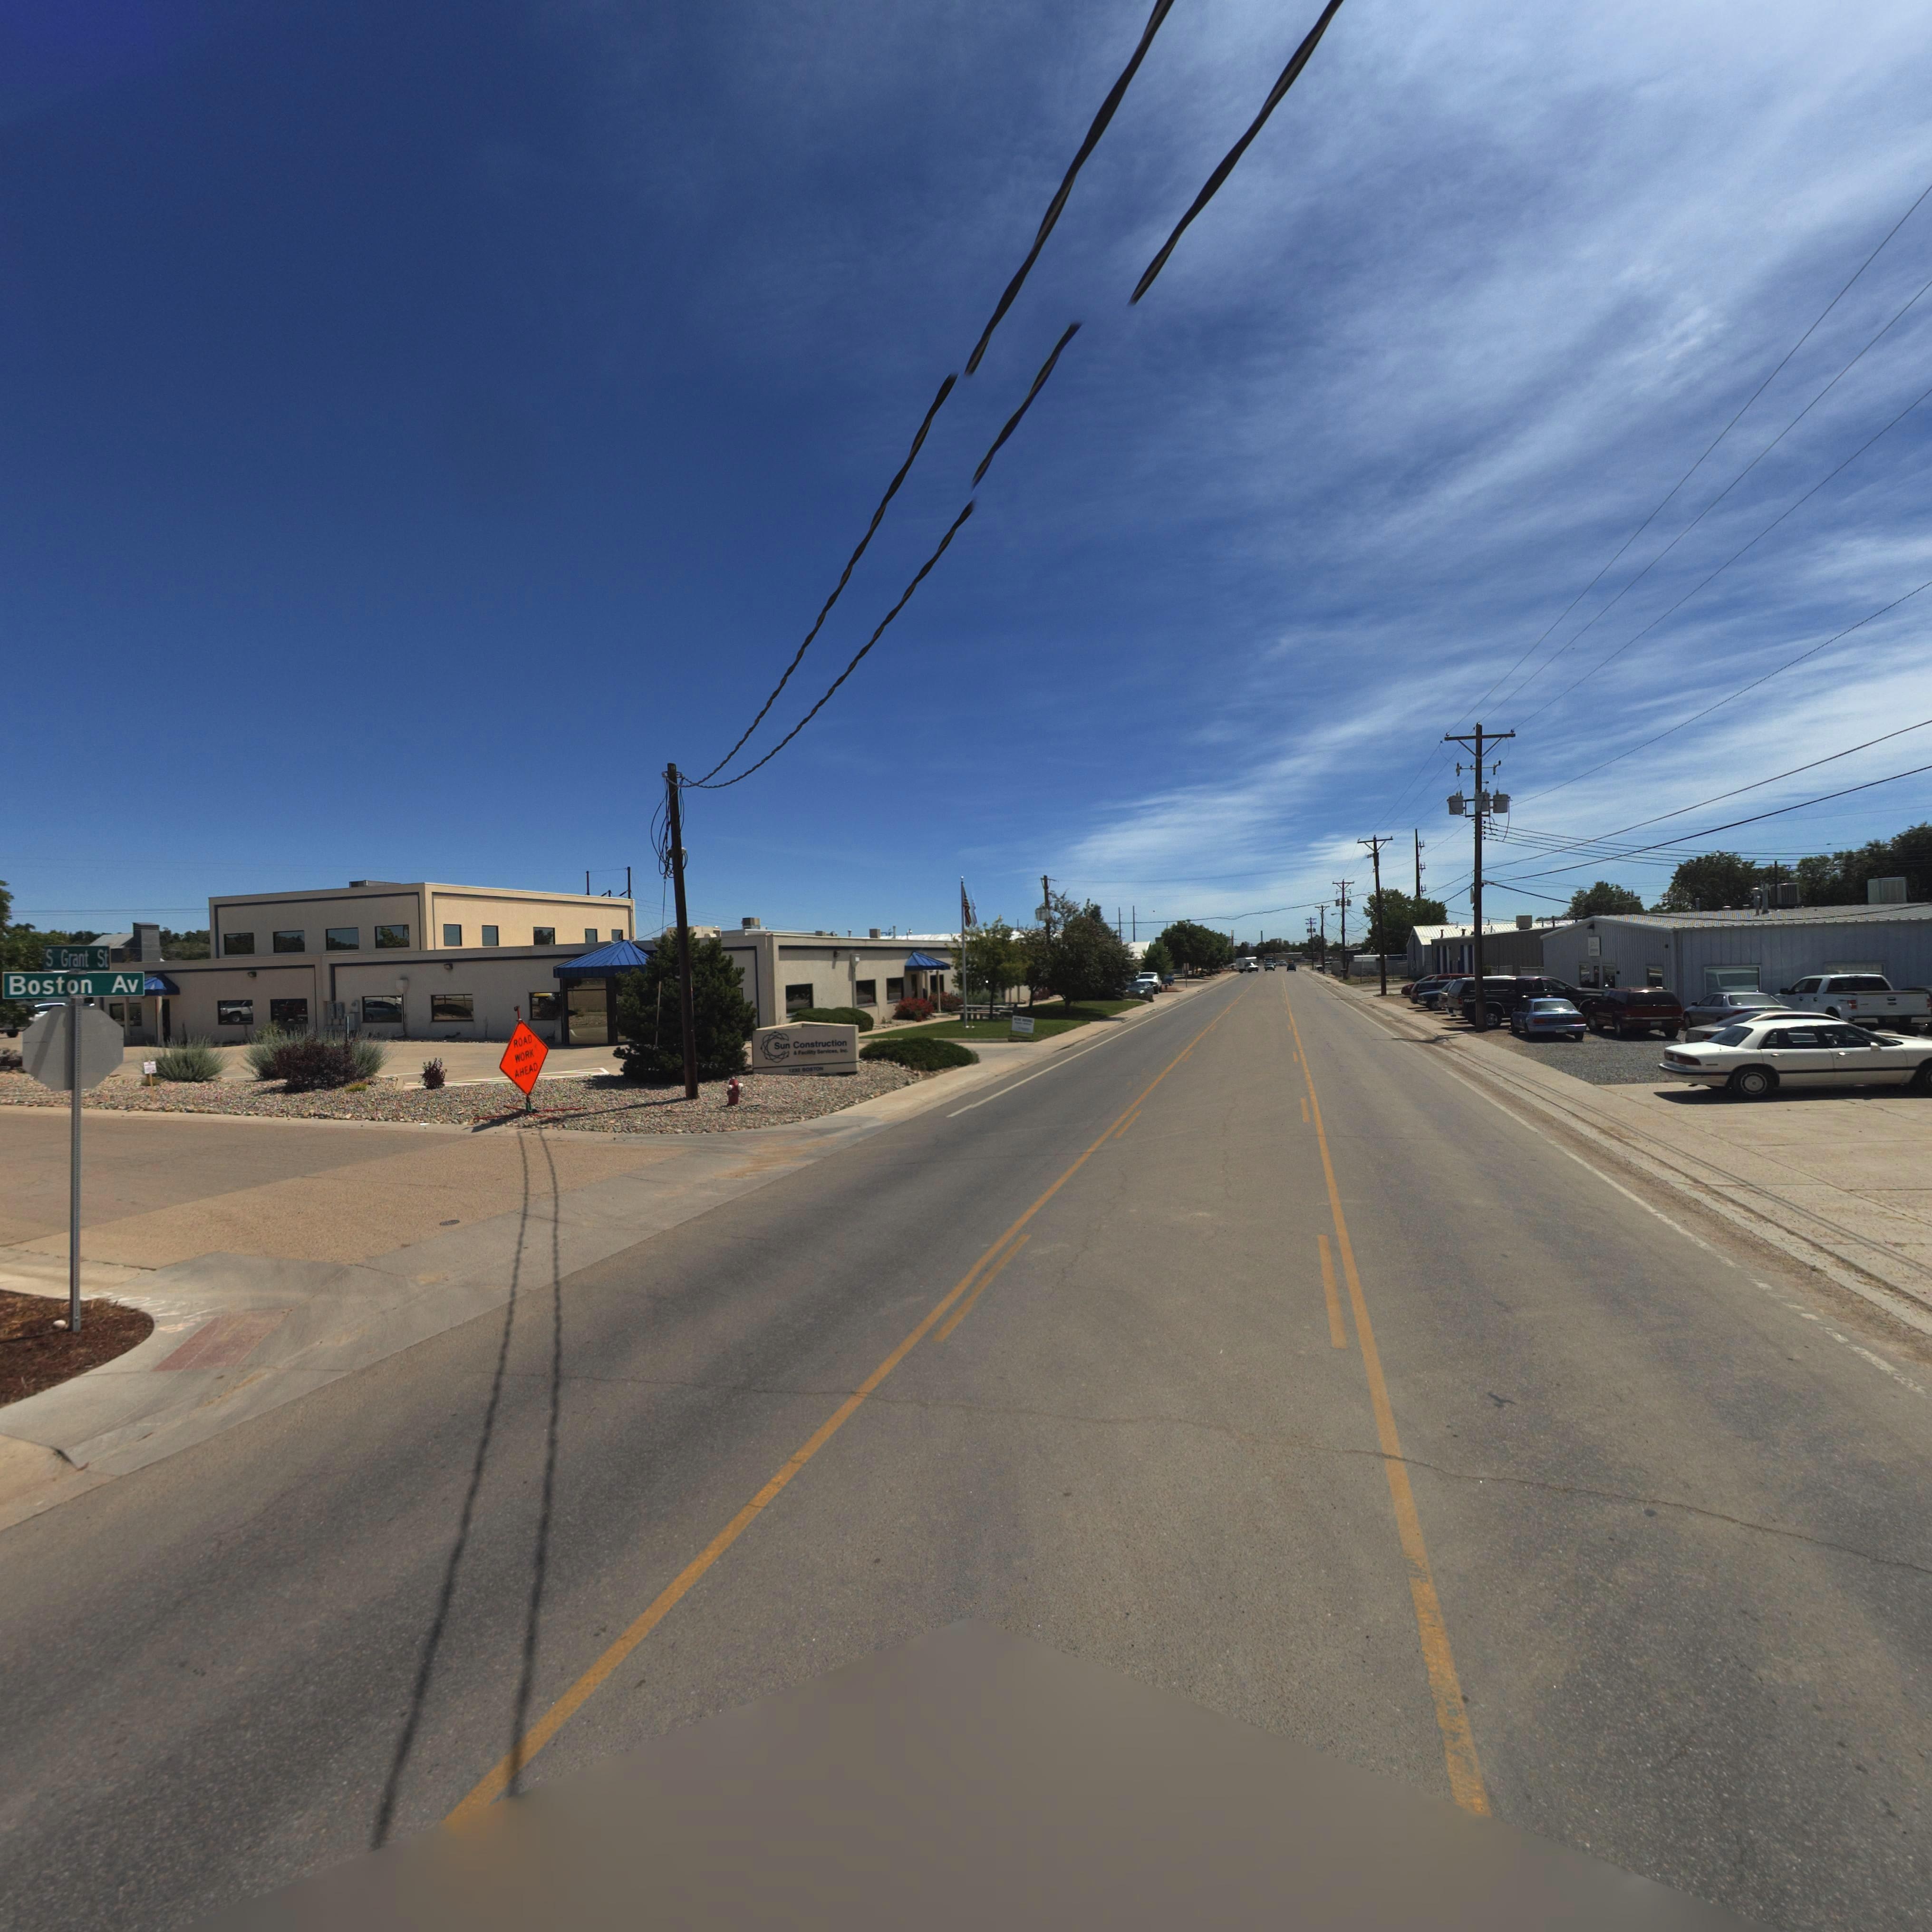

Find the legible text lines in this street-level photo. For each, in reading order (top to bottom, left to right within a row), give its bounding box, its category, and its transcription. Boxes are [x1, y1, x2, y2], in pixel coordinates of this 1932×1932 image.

[43, 946, 110, 970] StreetName: S Grant St
[8, 974, 140, 995] StreetName: Boston Av
[773, 1039, 850, 1050] BusinessName: Sun Construction
[787, 1067, 801, 1072] StreetNumber: 1232
[802, 1065, 824, 1072] StreetName: Boston